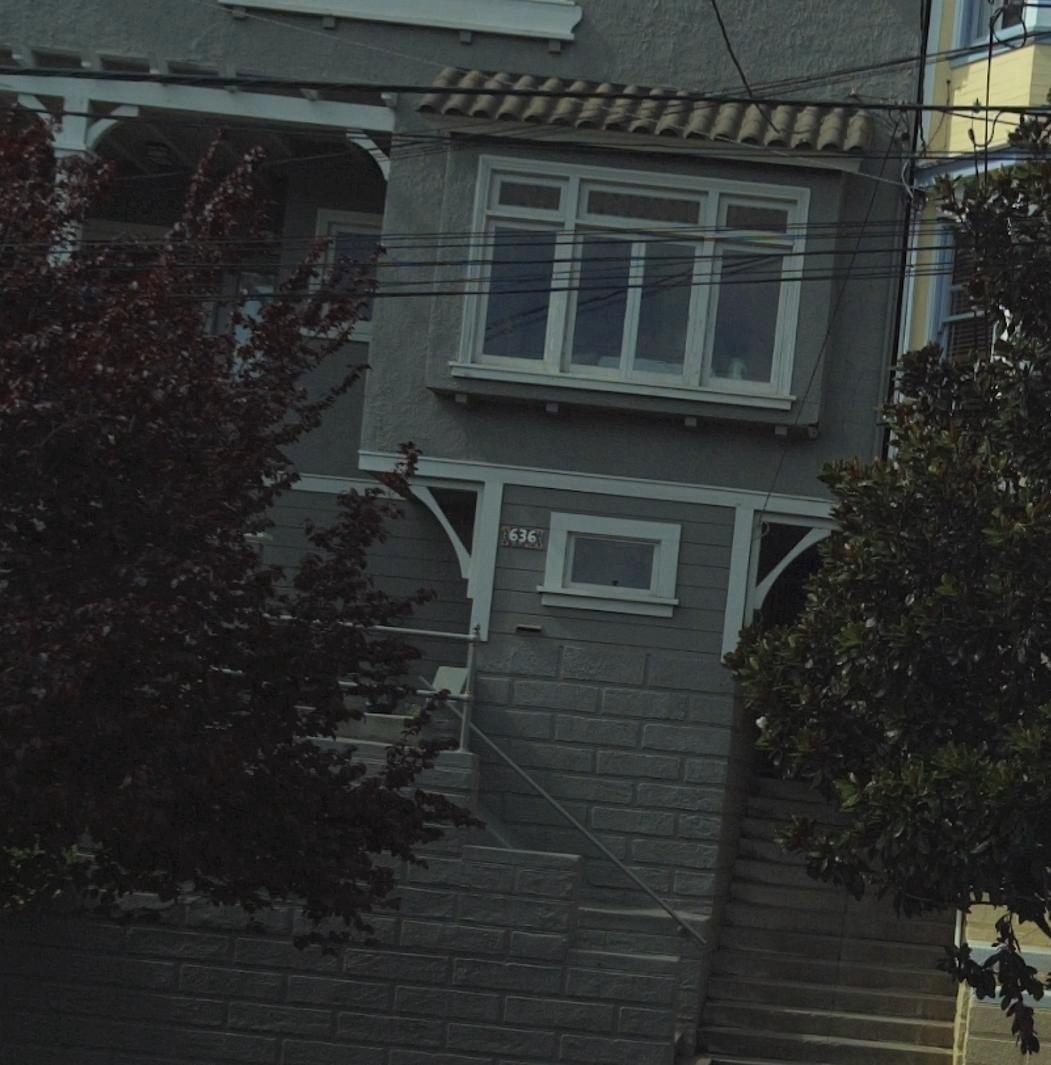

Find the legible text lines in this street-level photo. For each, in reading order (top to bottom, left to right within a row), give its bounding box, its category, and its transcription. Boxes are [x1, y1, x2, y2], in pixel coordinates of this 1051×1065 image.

[507, 527, 538, 544] StreetNumber: 636